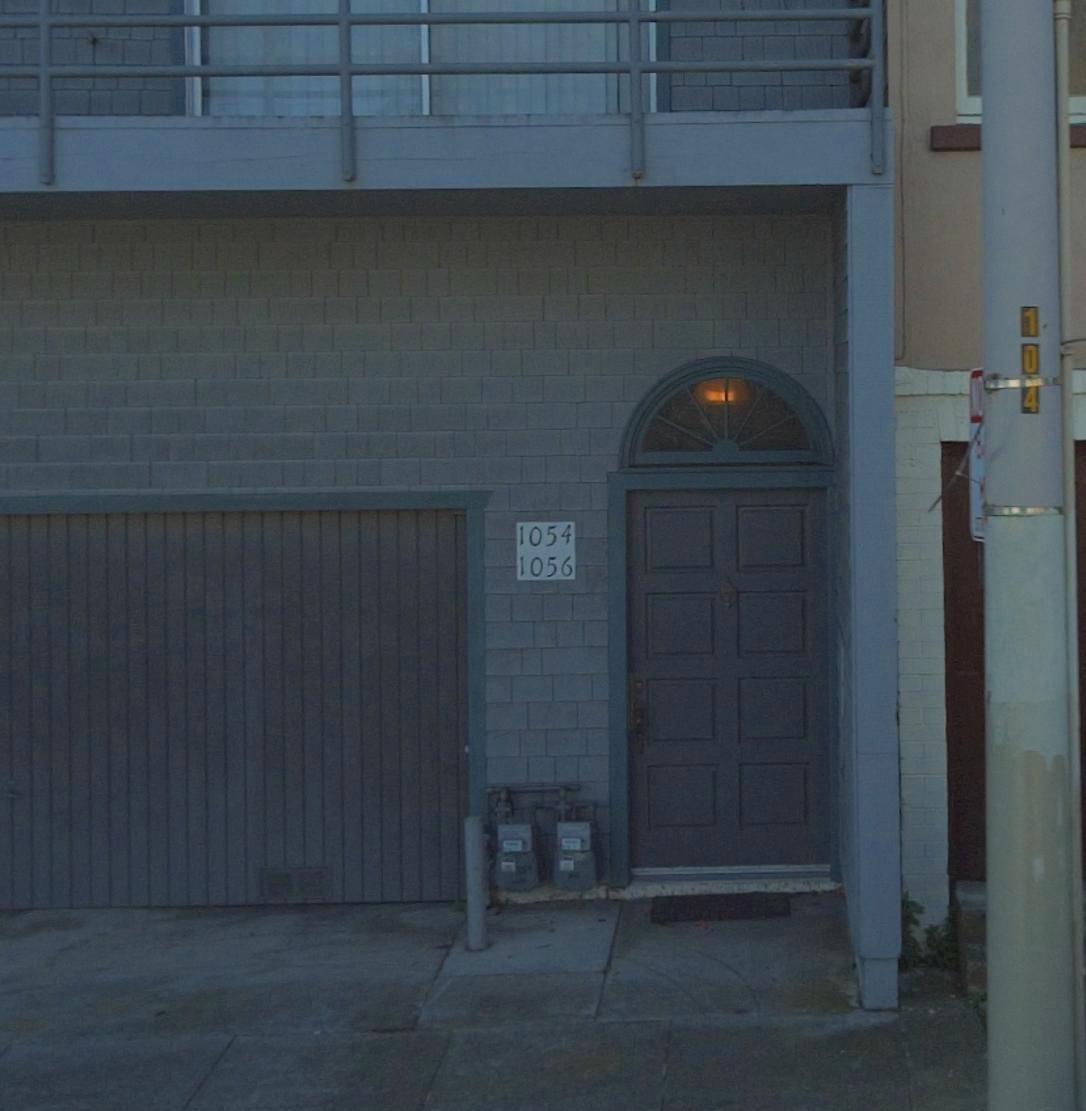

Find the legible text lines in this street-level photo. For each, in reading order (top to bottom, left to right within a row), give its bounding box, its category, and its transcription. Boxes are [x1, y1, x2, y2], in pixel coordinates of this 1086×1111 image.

[1021, 307, 1040, 413] None: 10*4
[970, 375, 985, 419] None: NO
[517, 523, 573, 549] StreetNumber: 1054
[517, 554, 574, 577] StreetNumber: 1056